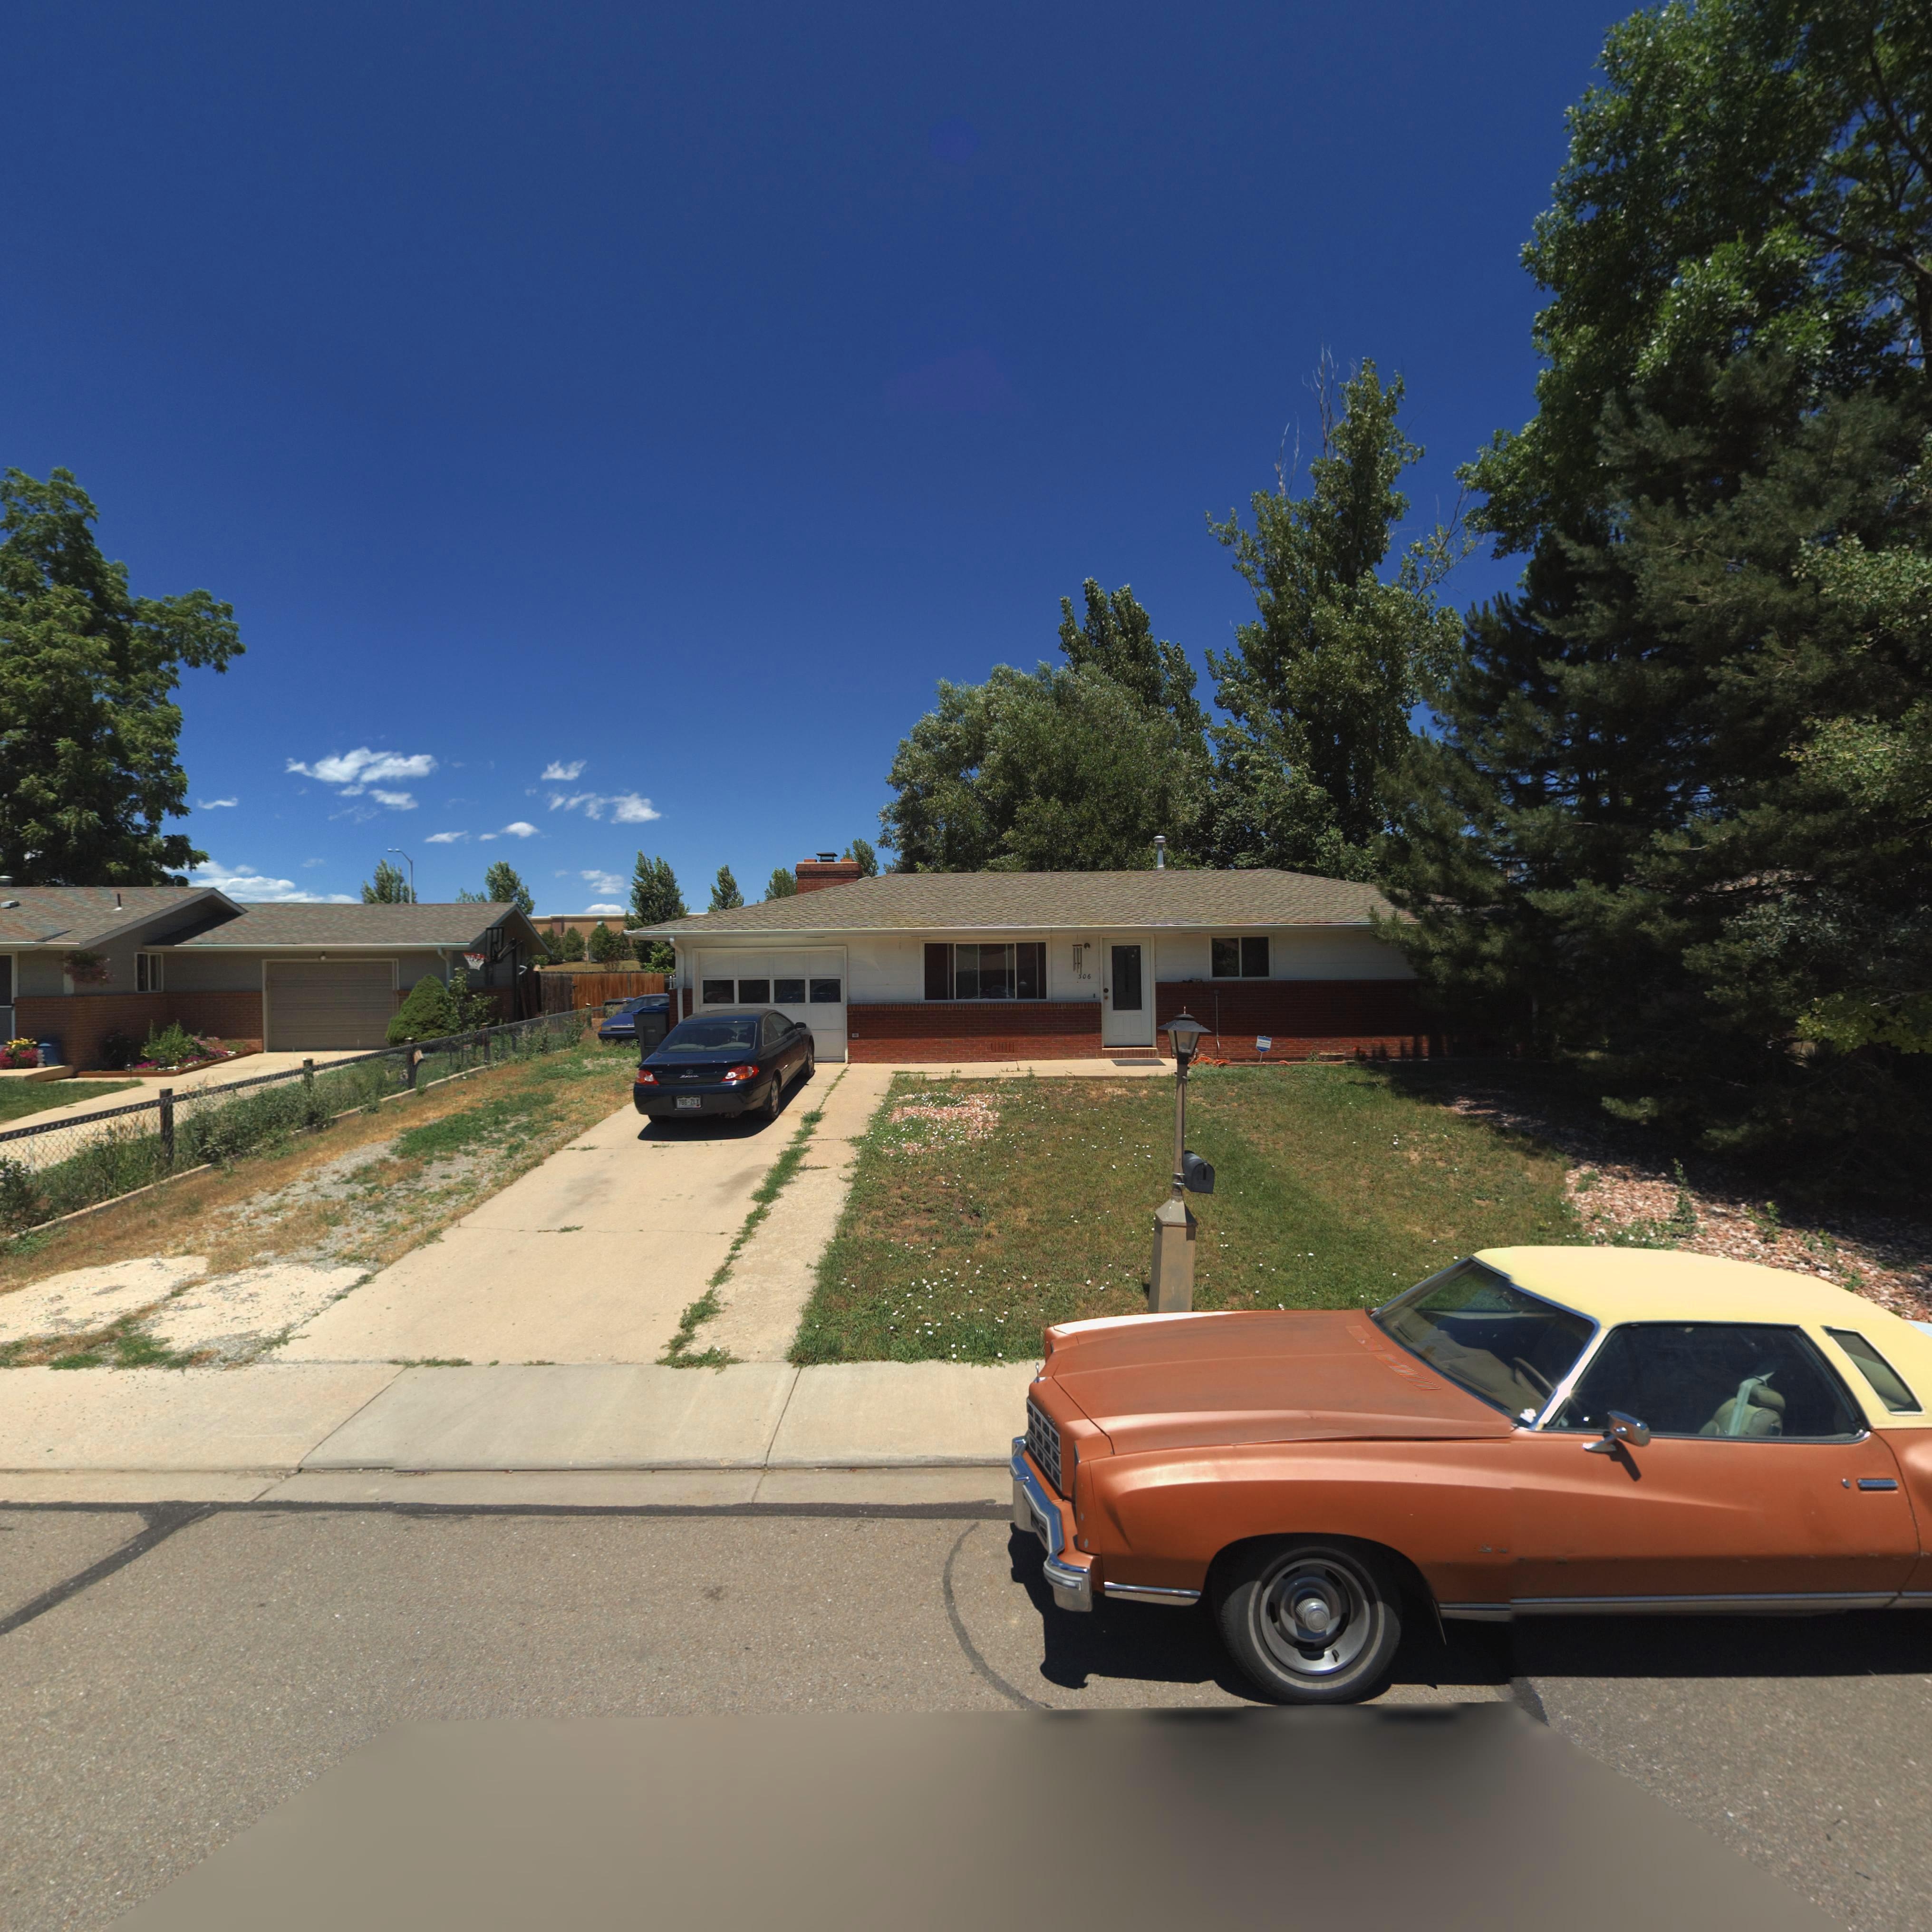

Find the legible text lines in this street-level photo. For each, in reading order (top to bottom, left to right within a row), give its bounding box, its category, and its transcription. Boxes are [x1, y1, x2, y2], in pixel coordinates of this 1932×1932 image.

[1077, 973, 1091, 979] StreetNumber: 306